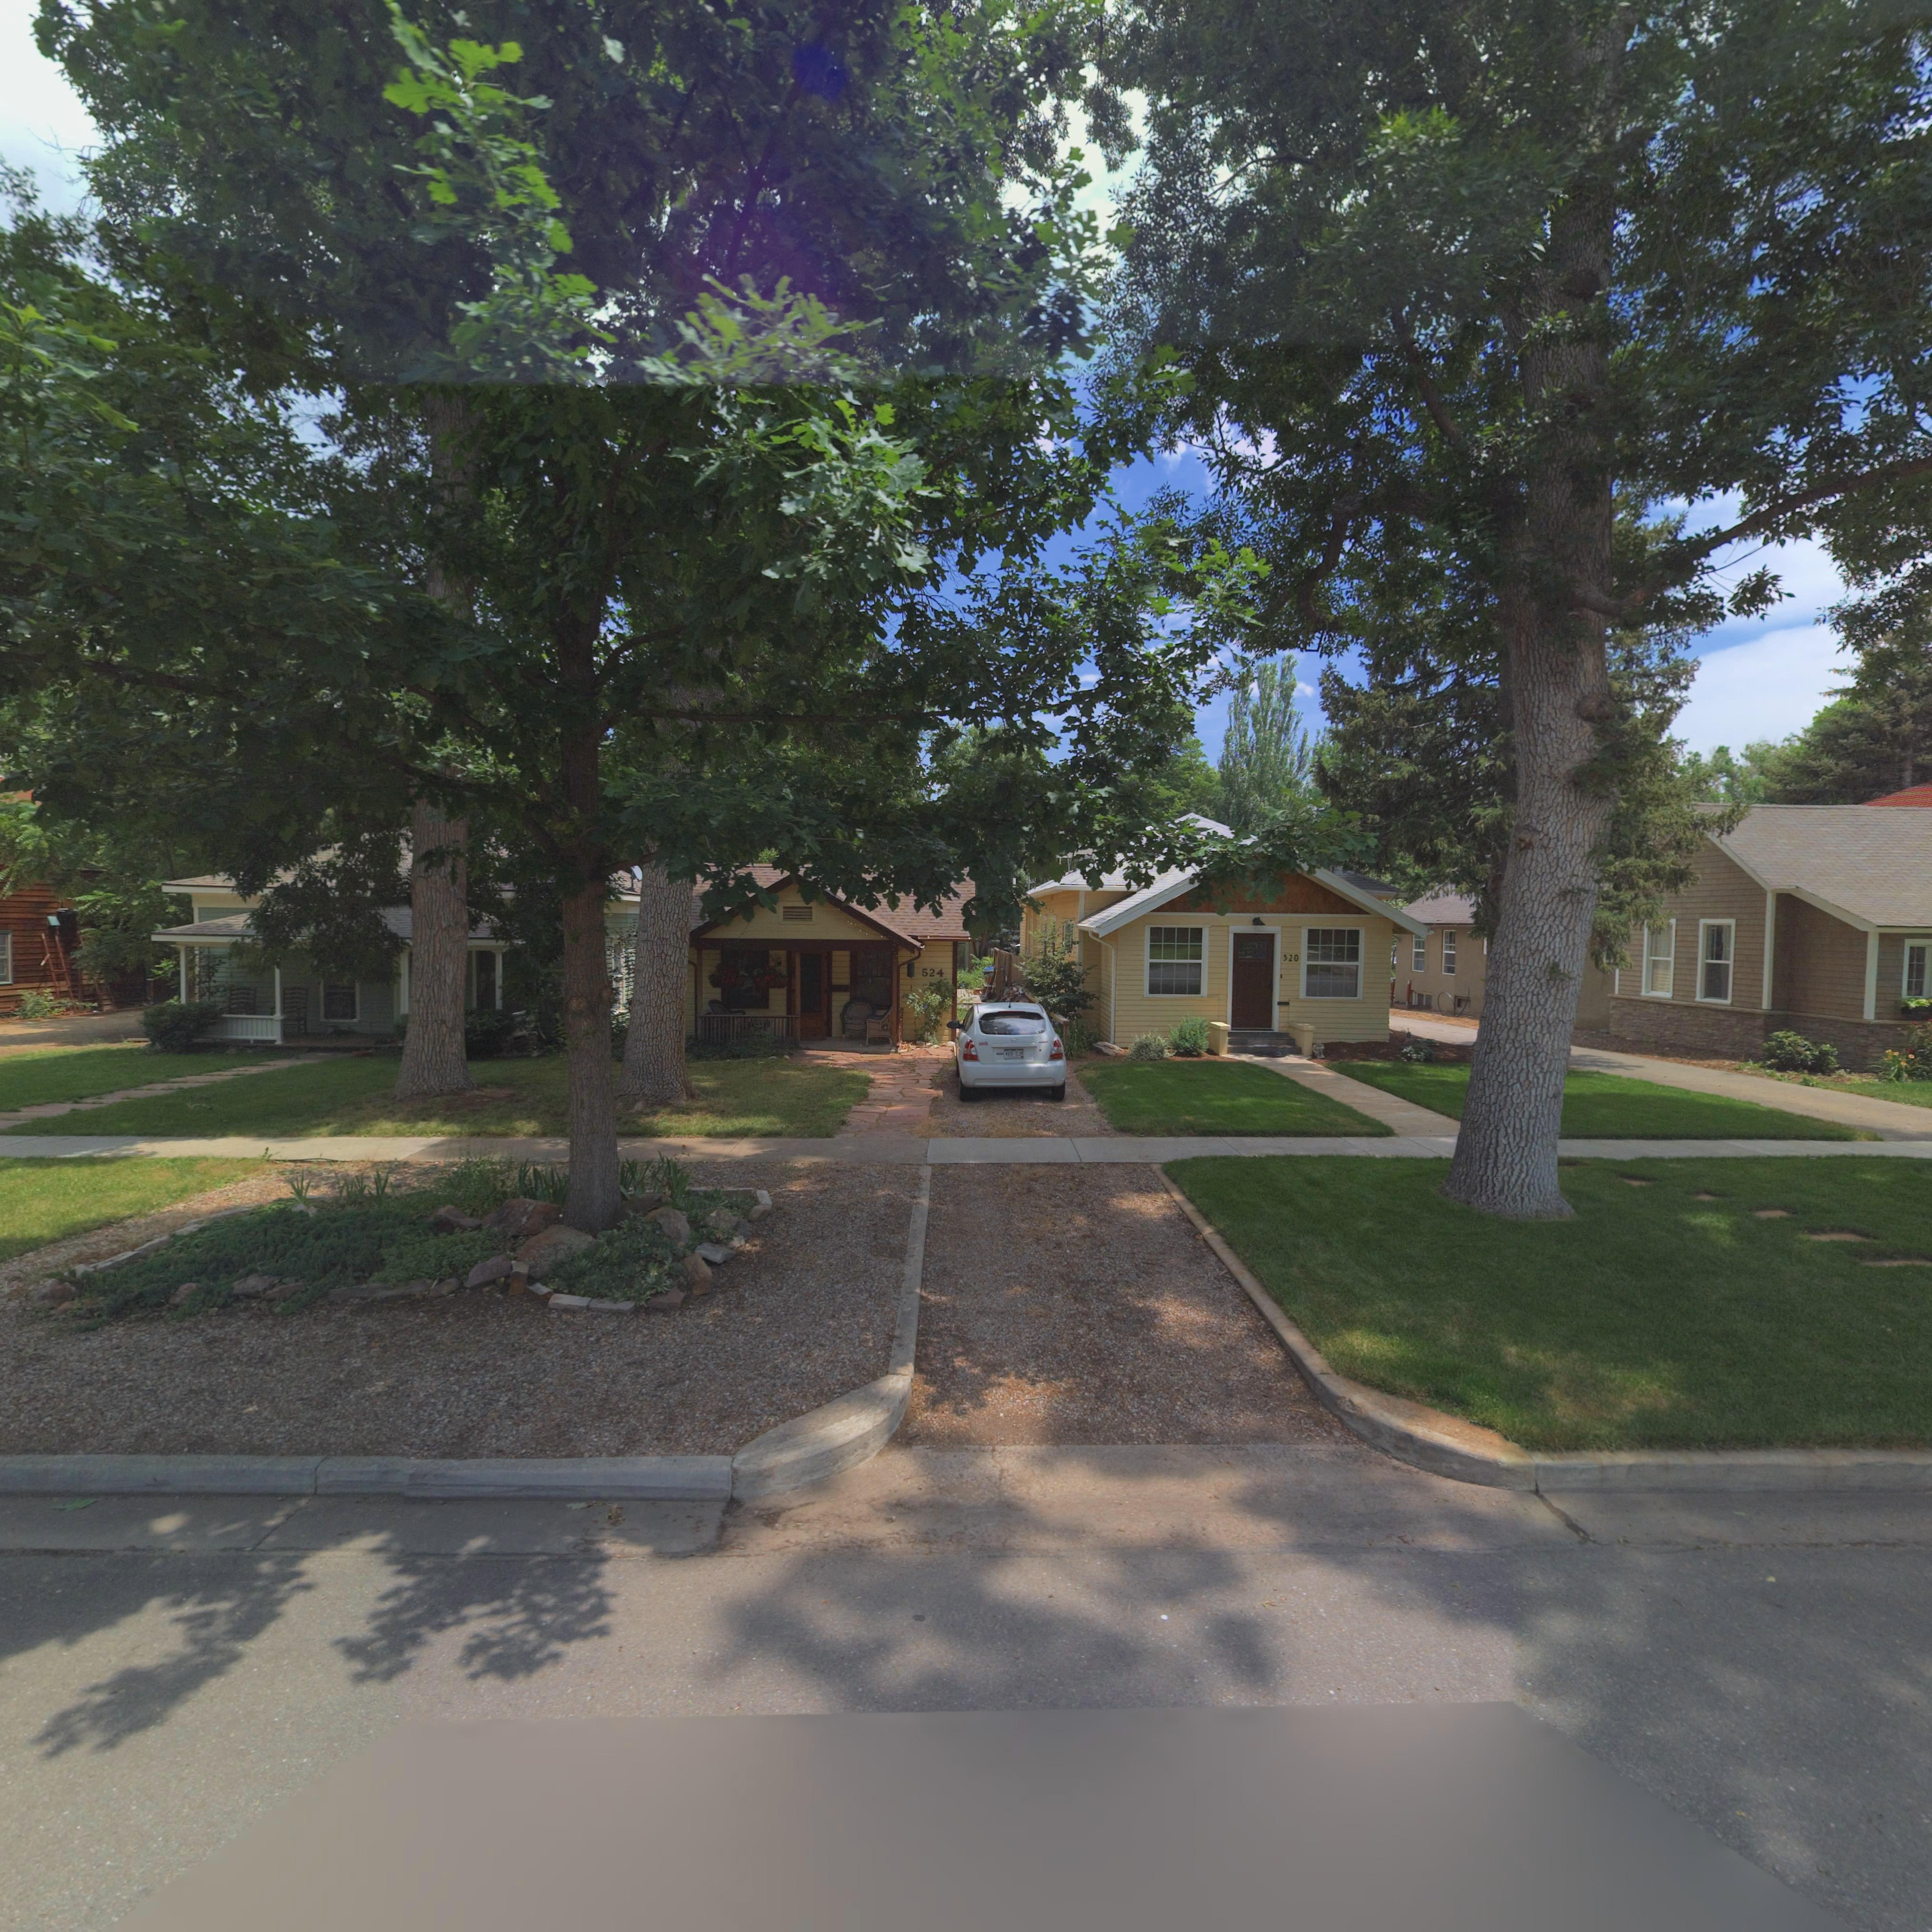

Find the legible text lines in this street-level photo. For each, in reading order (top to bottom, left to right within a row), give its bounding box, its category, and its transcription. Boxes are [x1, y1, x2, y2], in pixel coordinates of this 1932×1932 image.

[1283, 954, 1299, 962] StreetNumber: 520
[922, 968, 944, 977] StreetNumber: 524